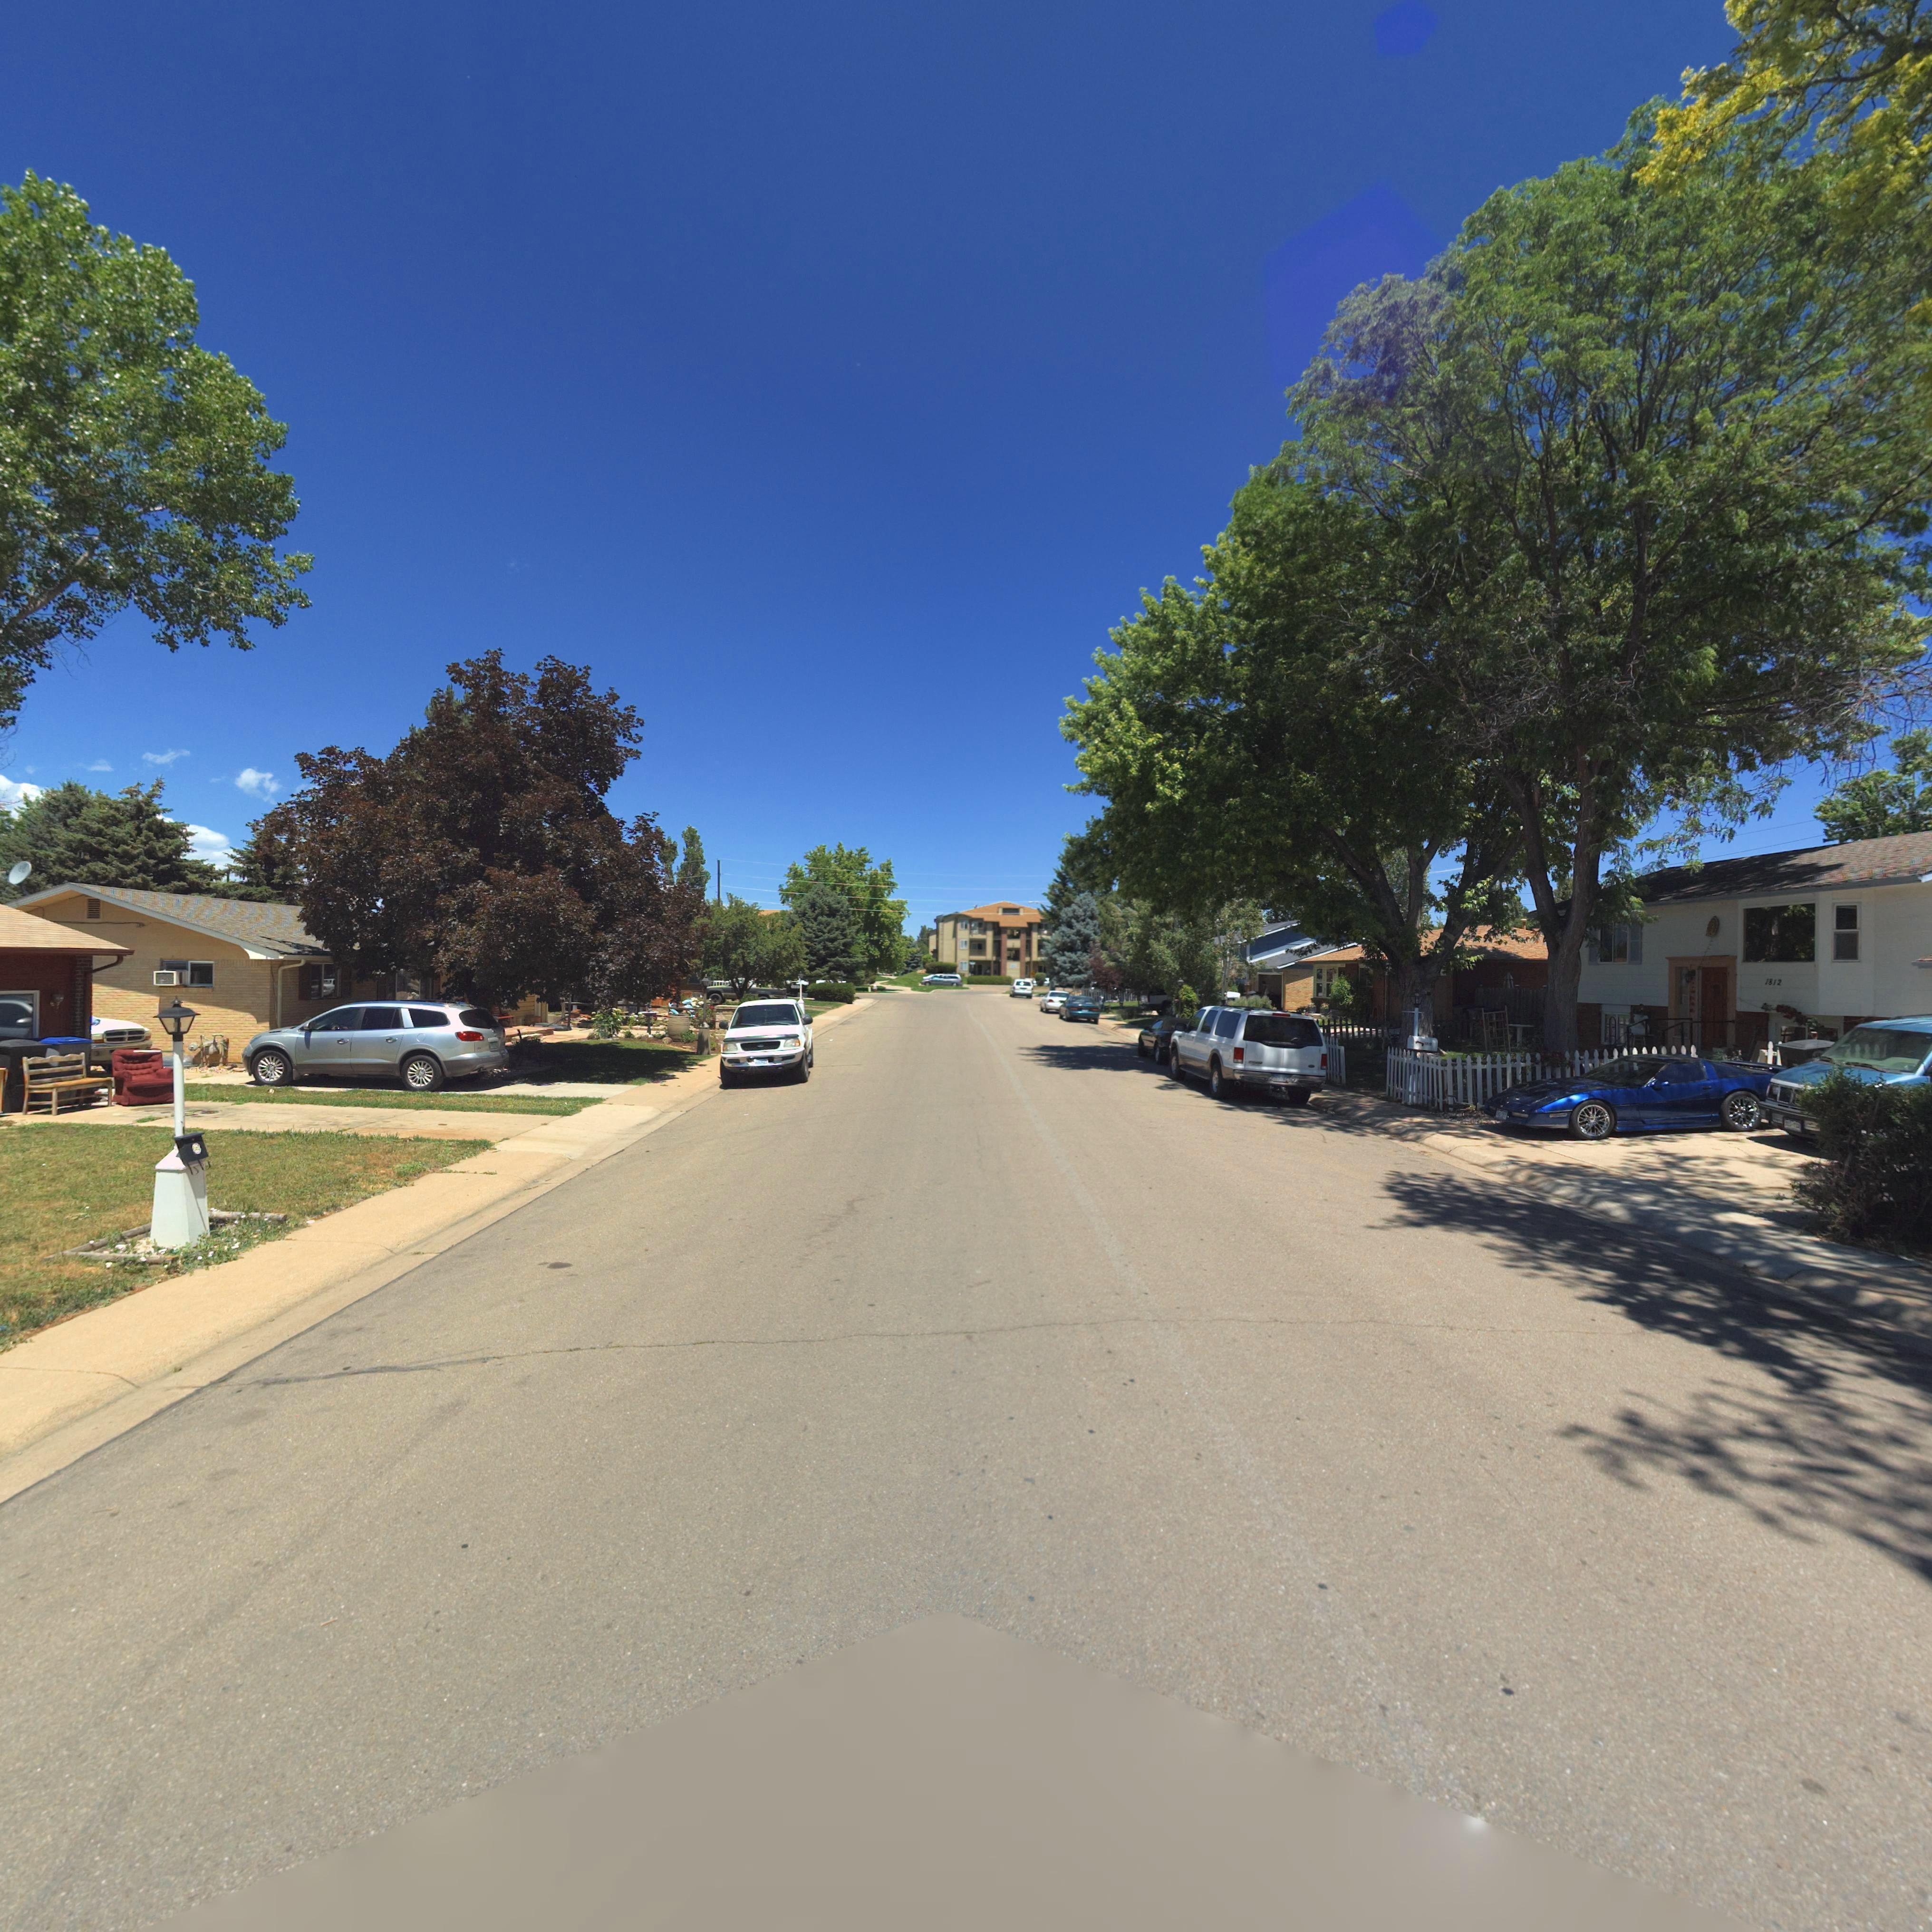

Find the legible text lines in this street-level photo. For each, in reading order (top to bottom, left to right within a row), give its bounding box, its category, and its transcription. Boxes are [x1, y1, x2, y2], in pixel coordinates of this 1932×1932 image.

[1765, 978, 1782, 985] StreetNumber: 1812